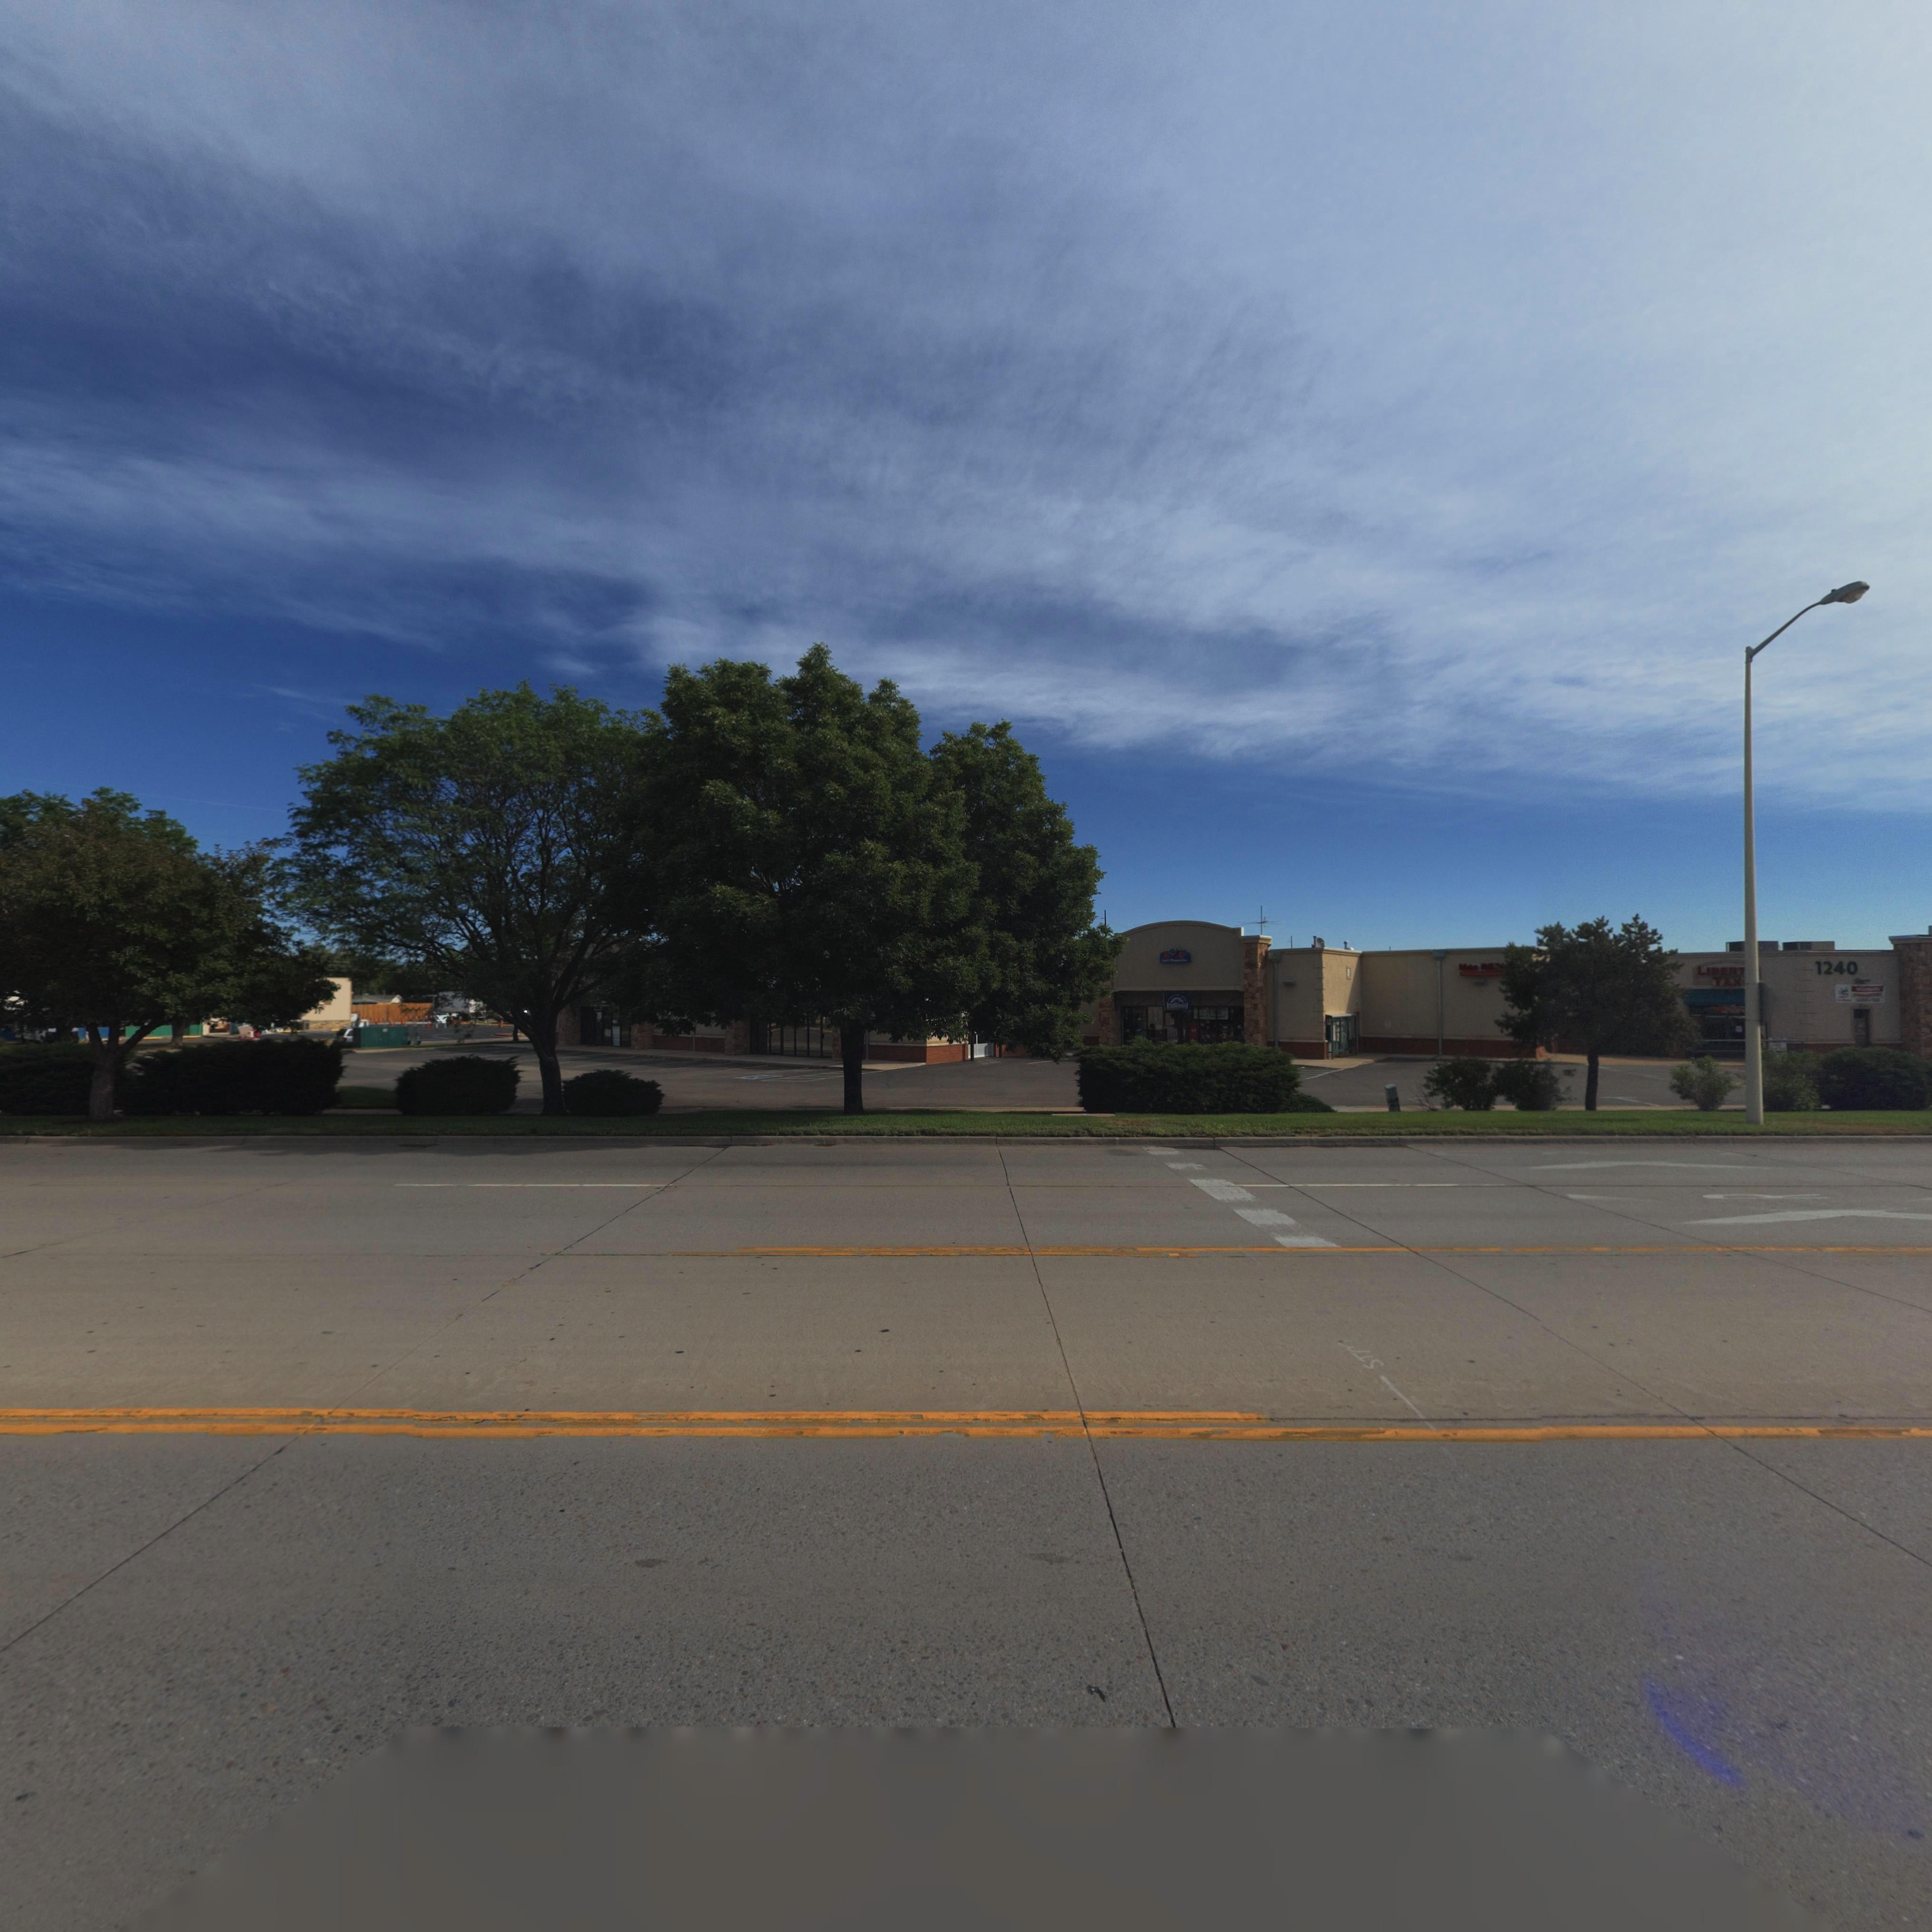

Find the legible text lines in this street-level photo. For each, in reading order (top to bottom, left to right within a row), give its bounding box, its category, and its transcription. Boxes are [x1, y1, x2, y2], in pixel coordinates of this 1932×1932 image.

[1696, 966, 1745, 976] BusinessName: LIBER*
[1815, 960, 1858, 976] StreetNumber: 1240
[1713, 976, 1742, 987] BusinessName: TAX